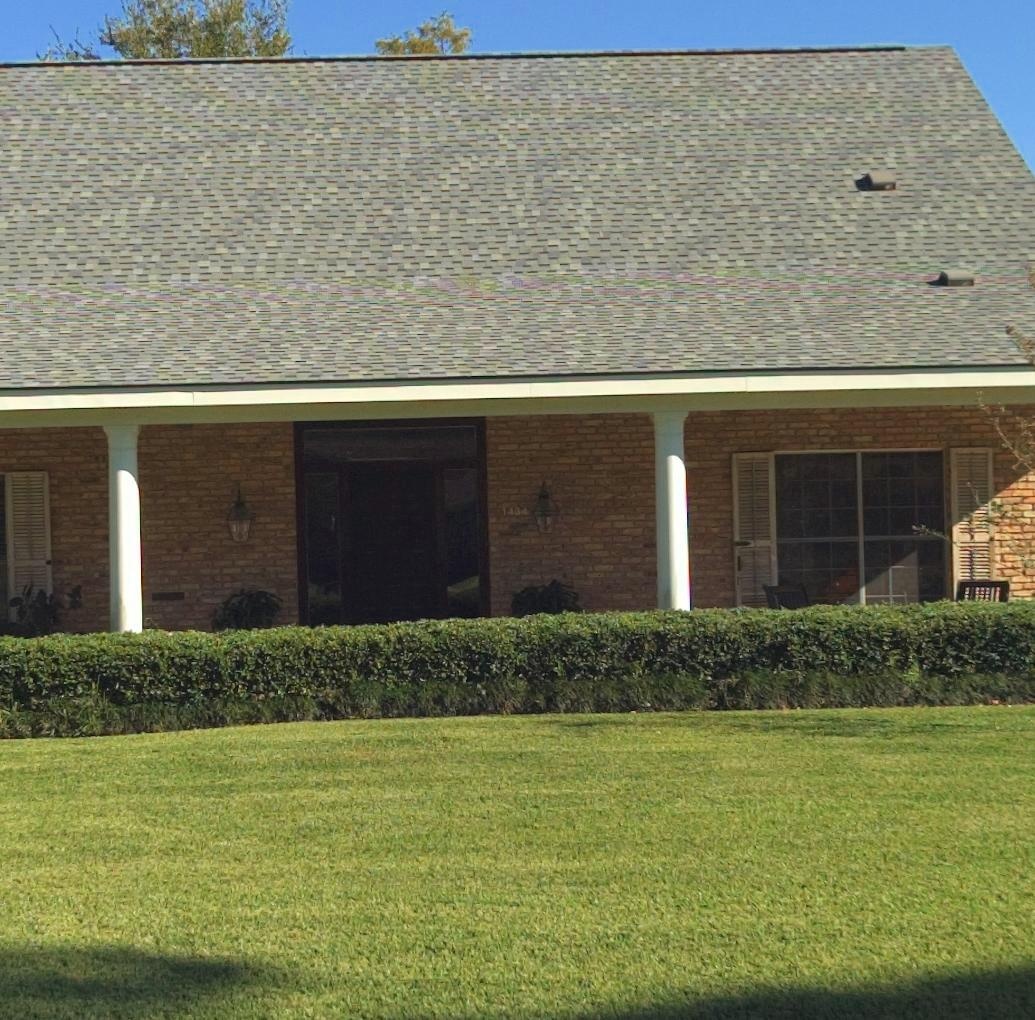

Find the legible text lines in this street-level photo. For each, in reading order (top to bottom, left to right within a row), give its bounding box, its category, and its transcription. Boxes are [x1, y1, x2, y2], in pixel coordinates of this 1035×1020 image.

[500, 504, 533, 518] StreetNumber: 1434